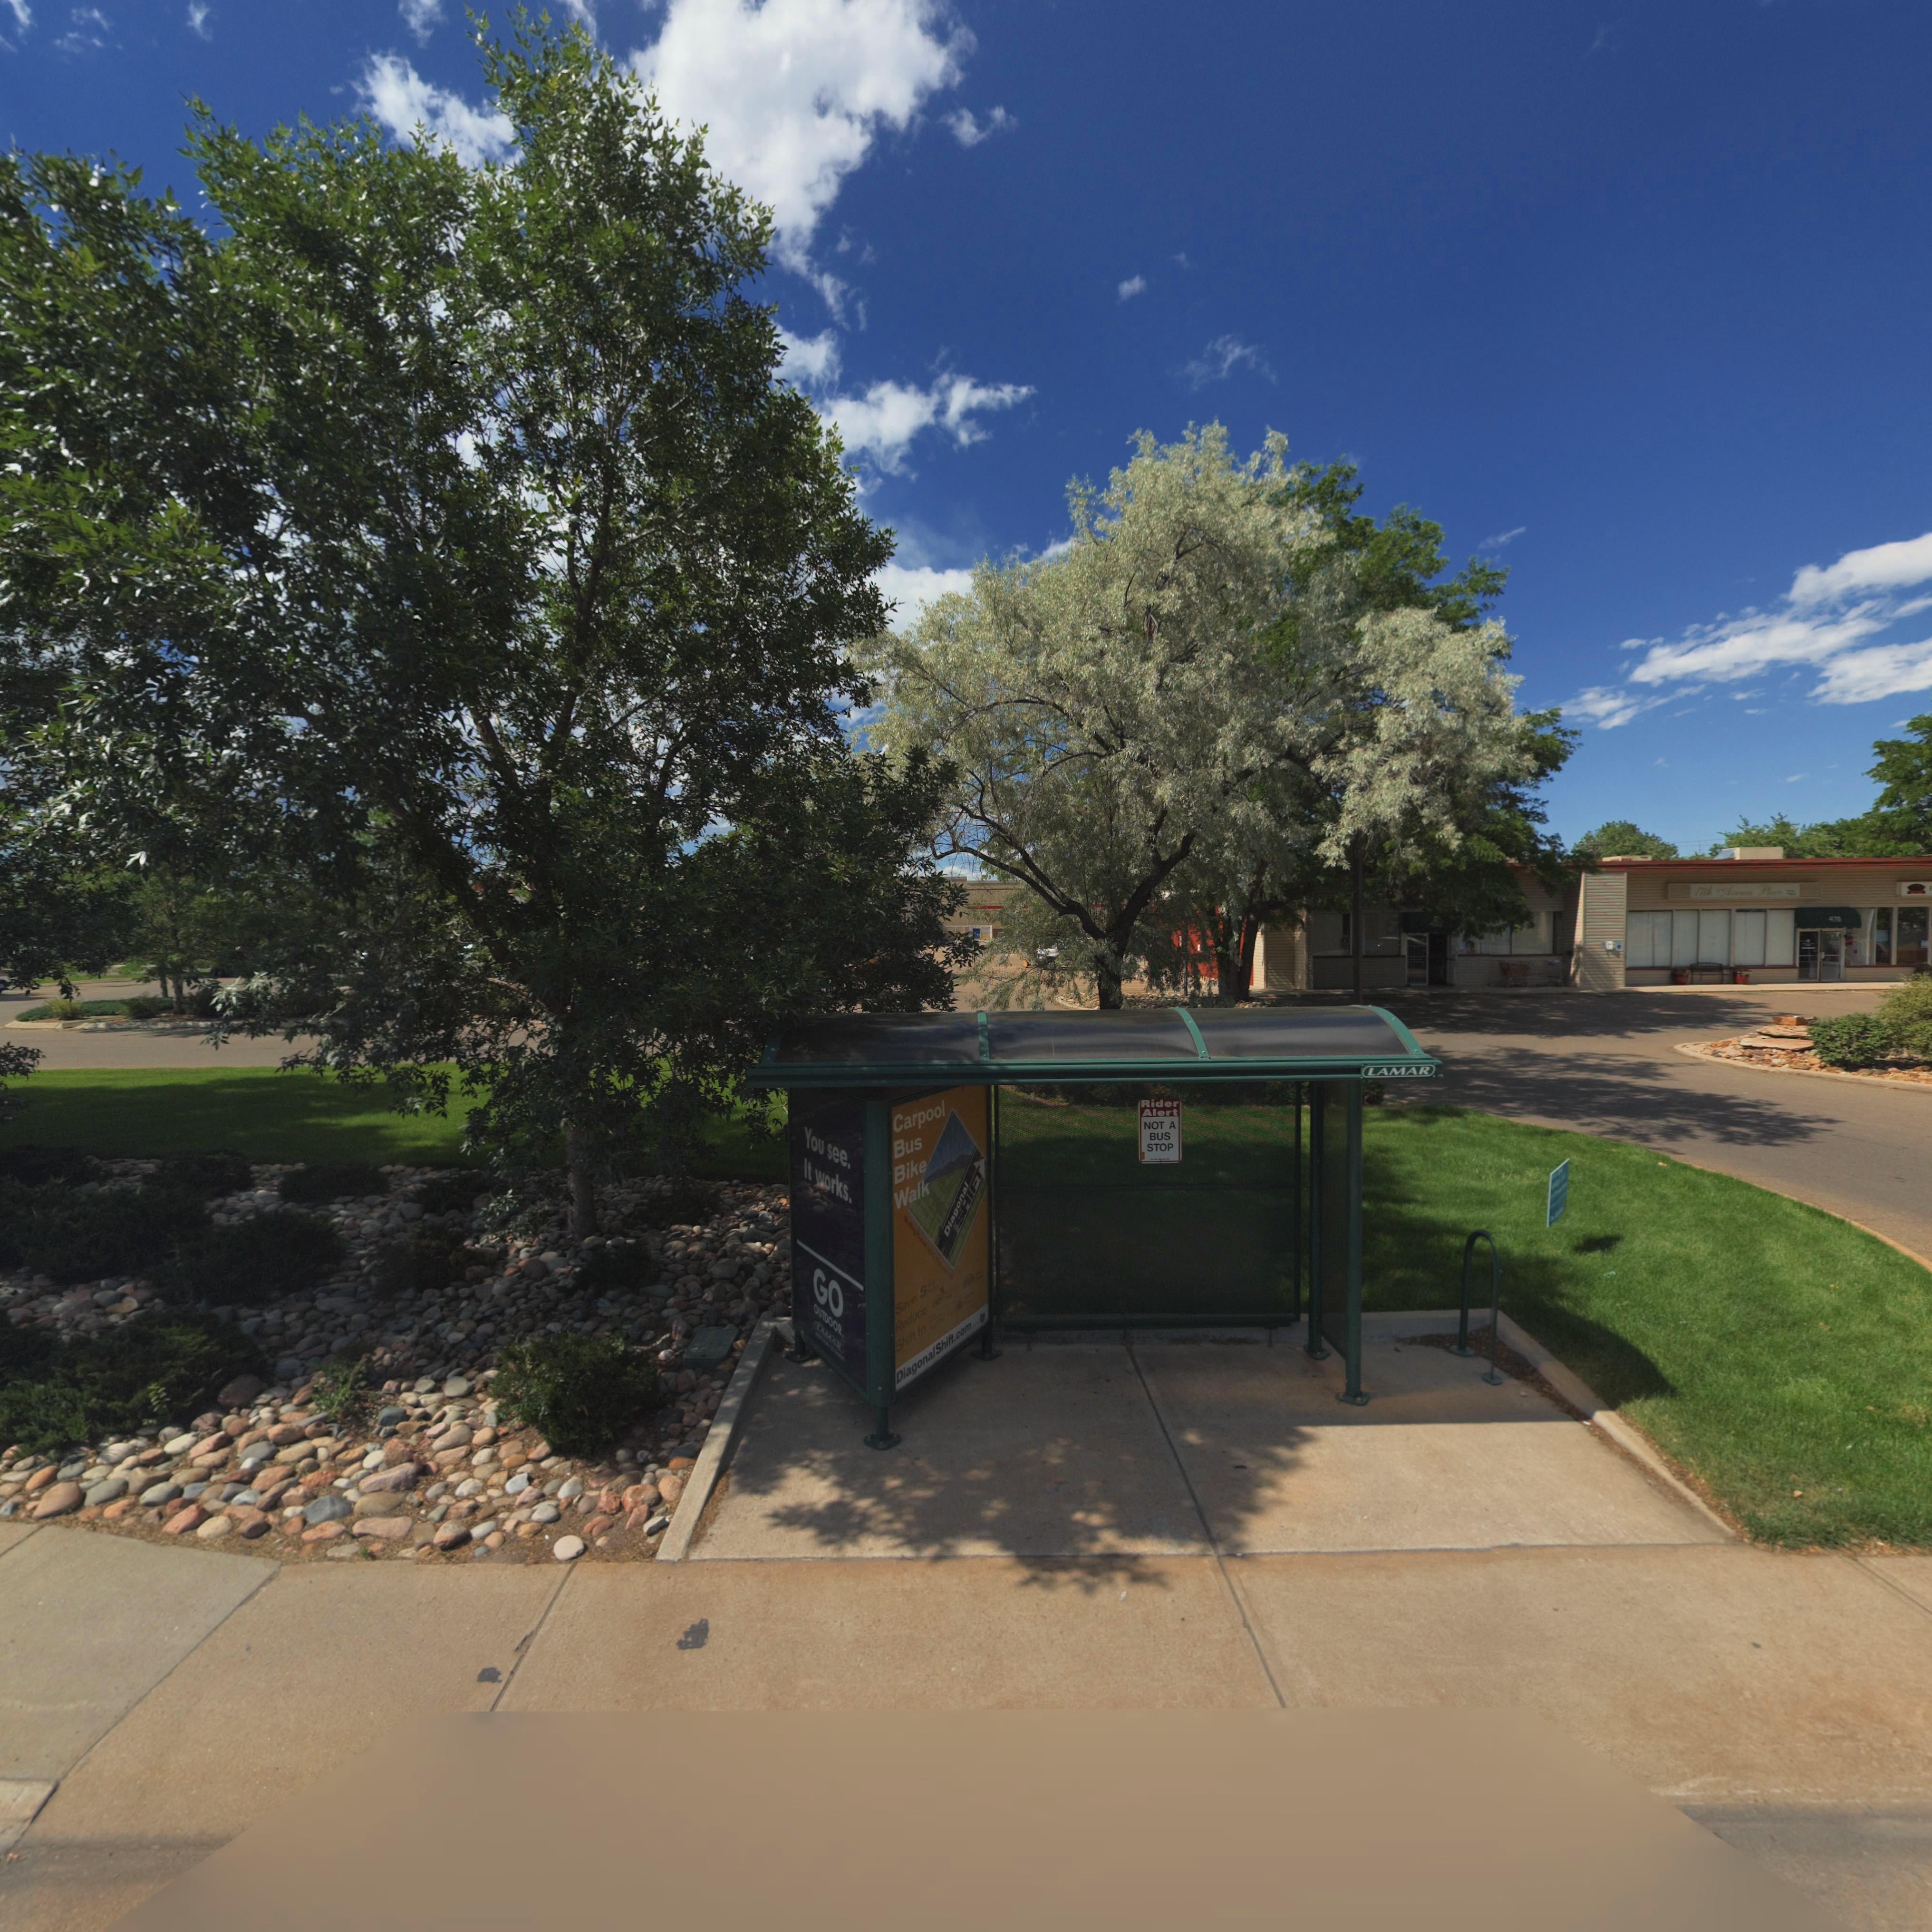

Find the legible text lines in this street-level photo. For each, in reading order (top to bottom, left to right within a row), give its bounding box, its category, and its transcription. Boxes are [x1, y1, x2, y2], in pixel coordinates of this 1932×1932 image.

[1693, 883, 1783, 897] BusinessName: *7th ****** P**ce
[1828, 915, 1842, 922] StreetNumber: 478
[1429, 919, 1444, 927] StreetNumber: 4**